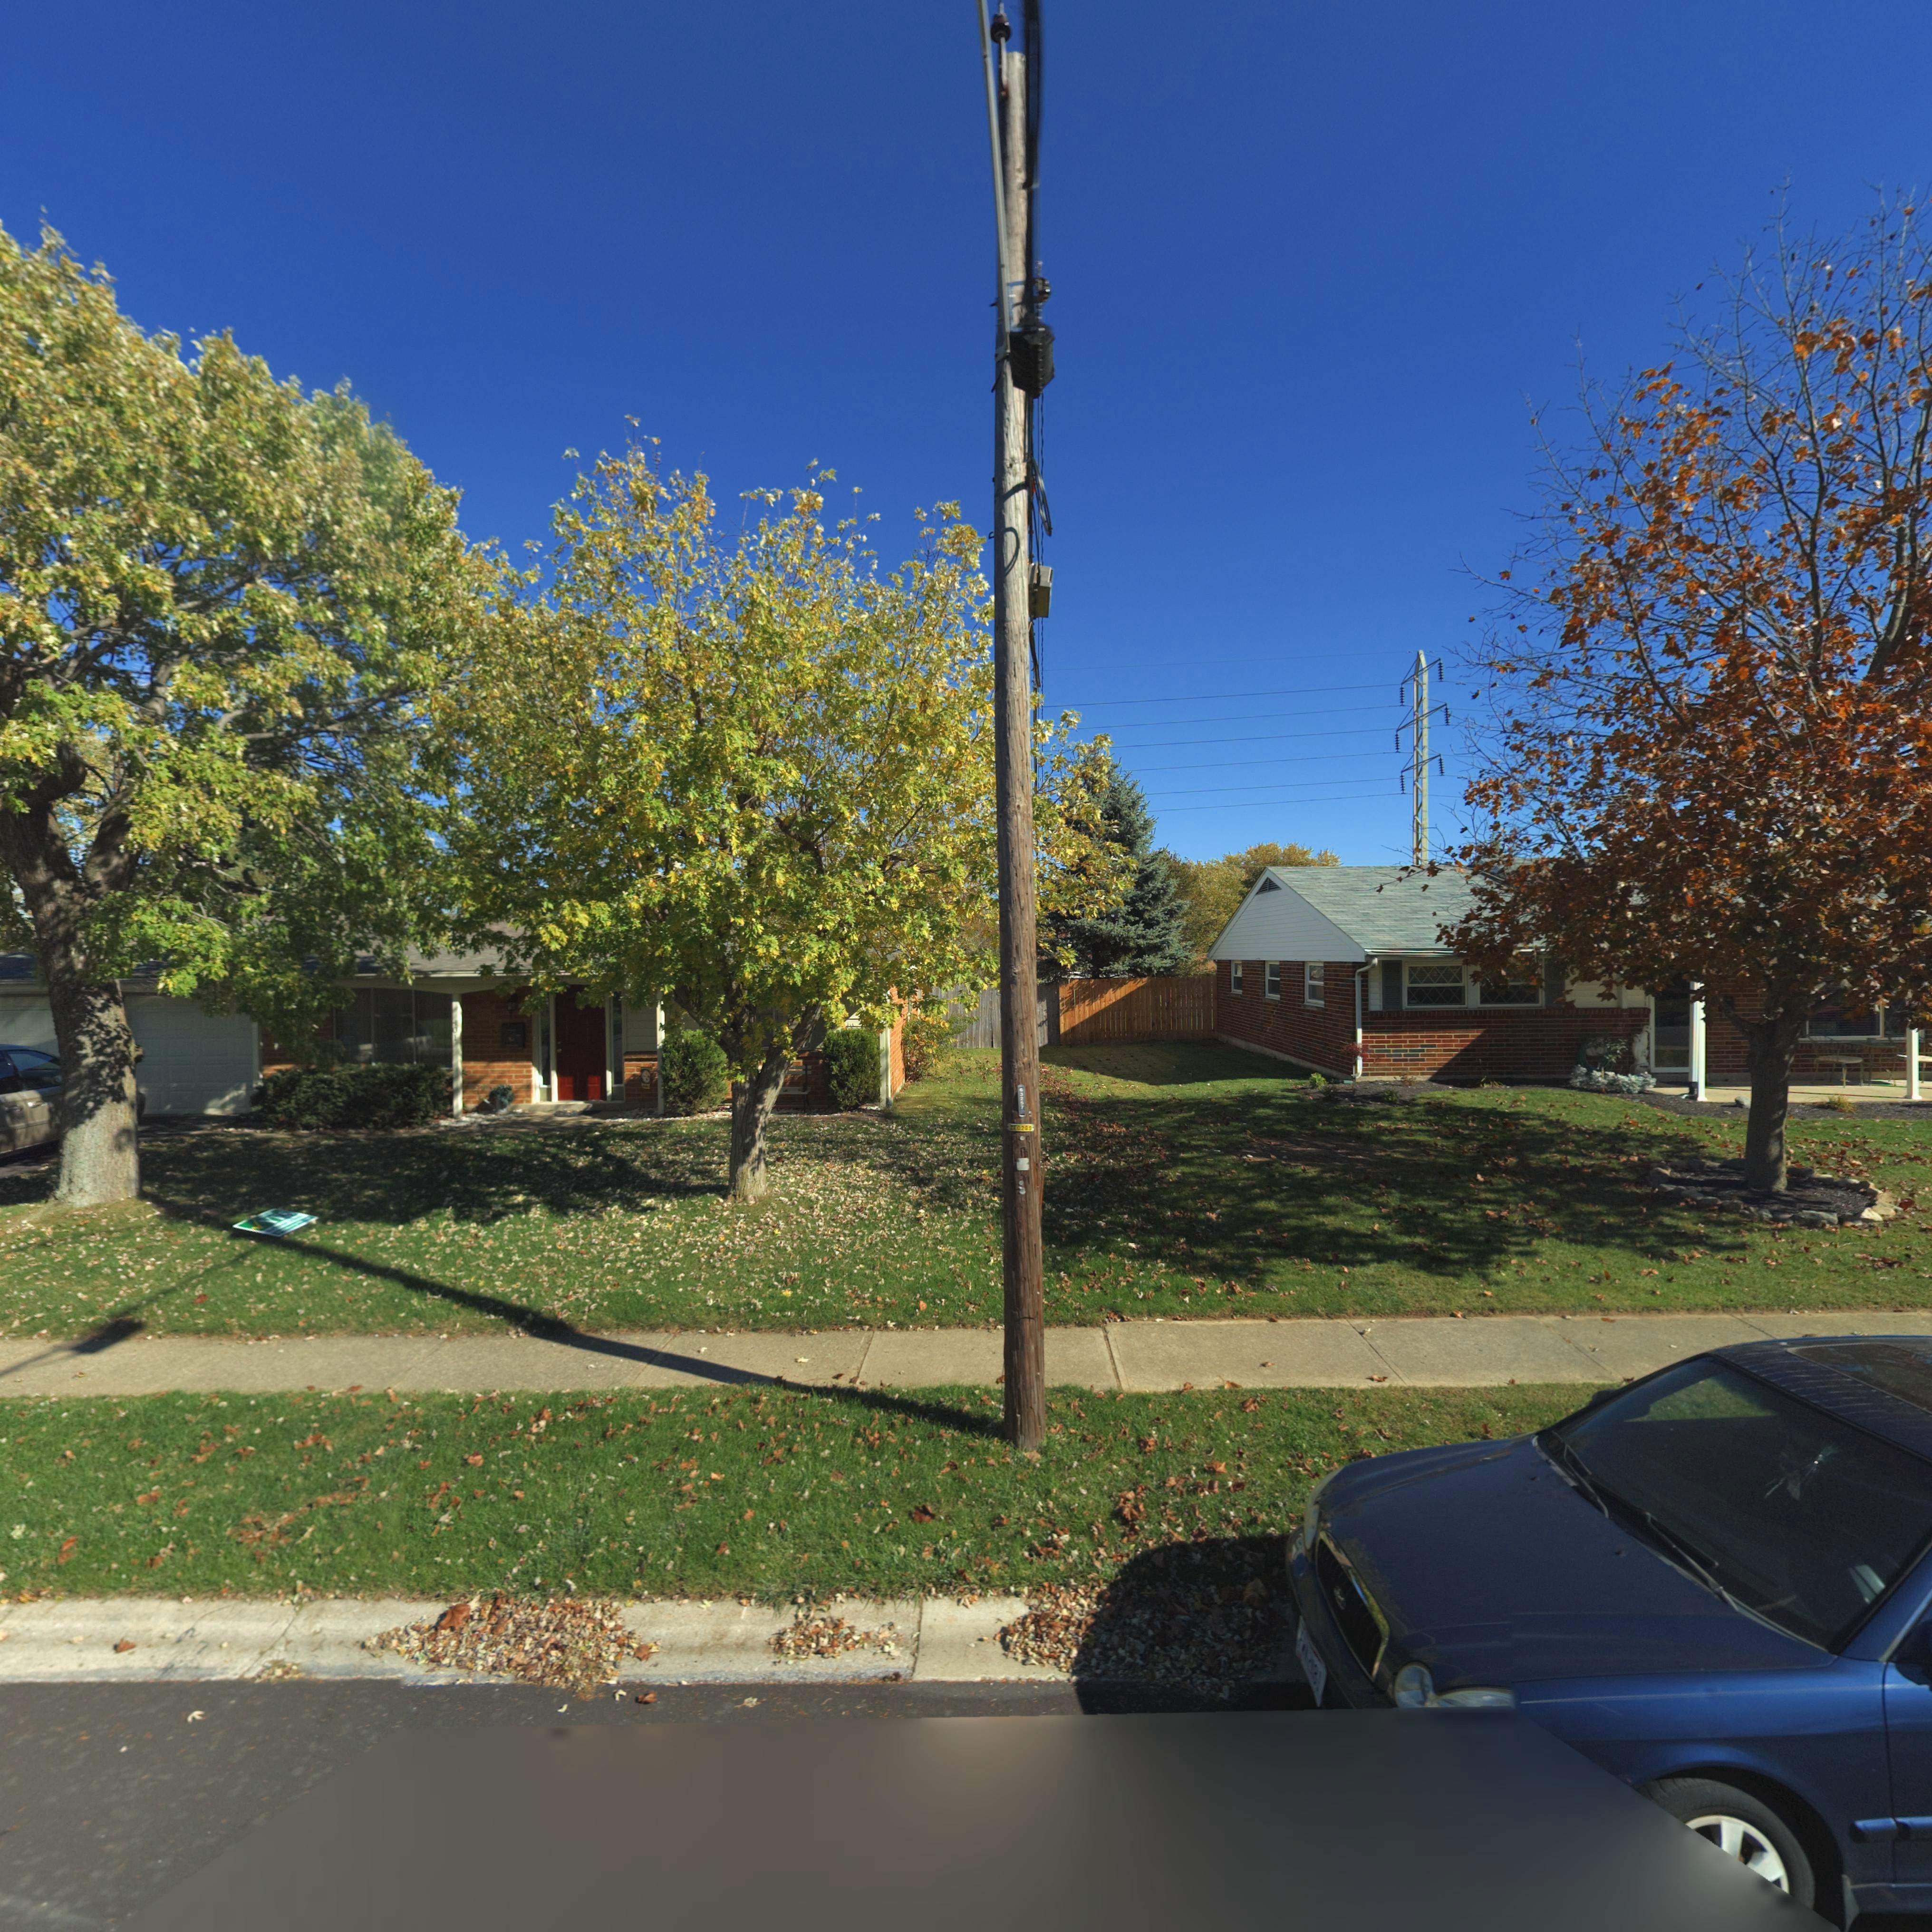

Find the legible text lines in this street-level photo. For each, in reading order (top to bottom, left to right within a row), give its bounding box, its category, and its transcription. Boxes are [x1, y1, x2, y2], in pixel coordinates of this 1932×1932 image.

[452, 1019, 457, 1041] StreetNumber: 401